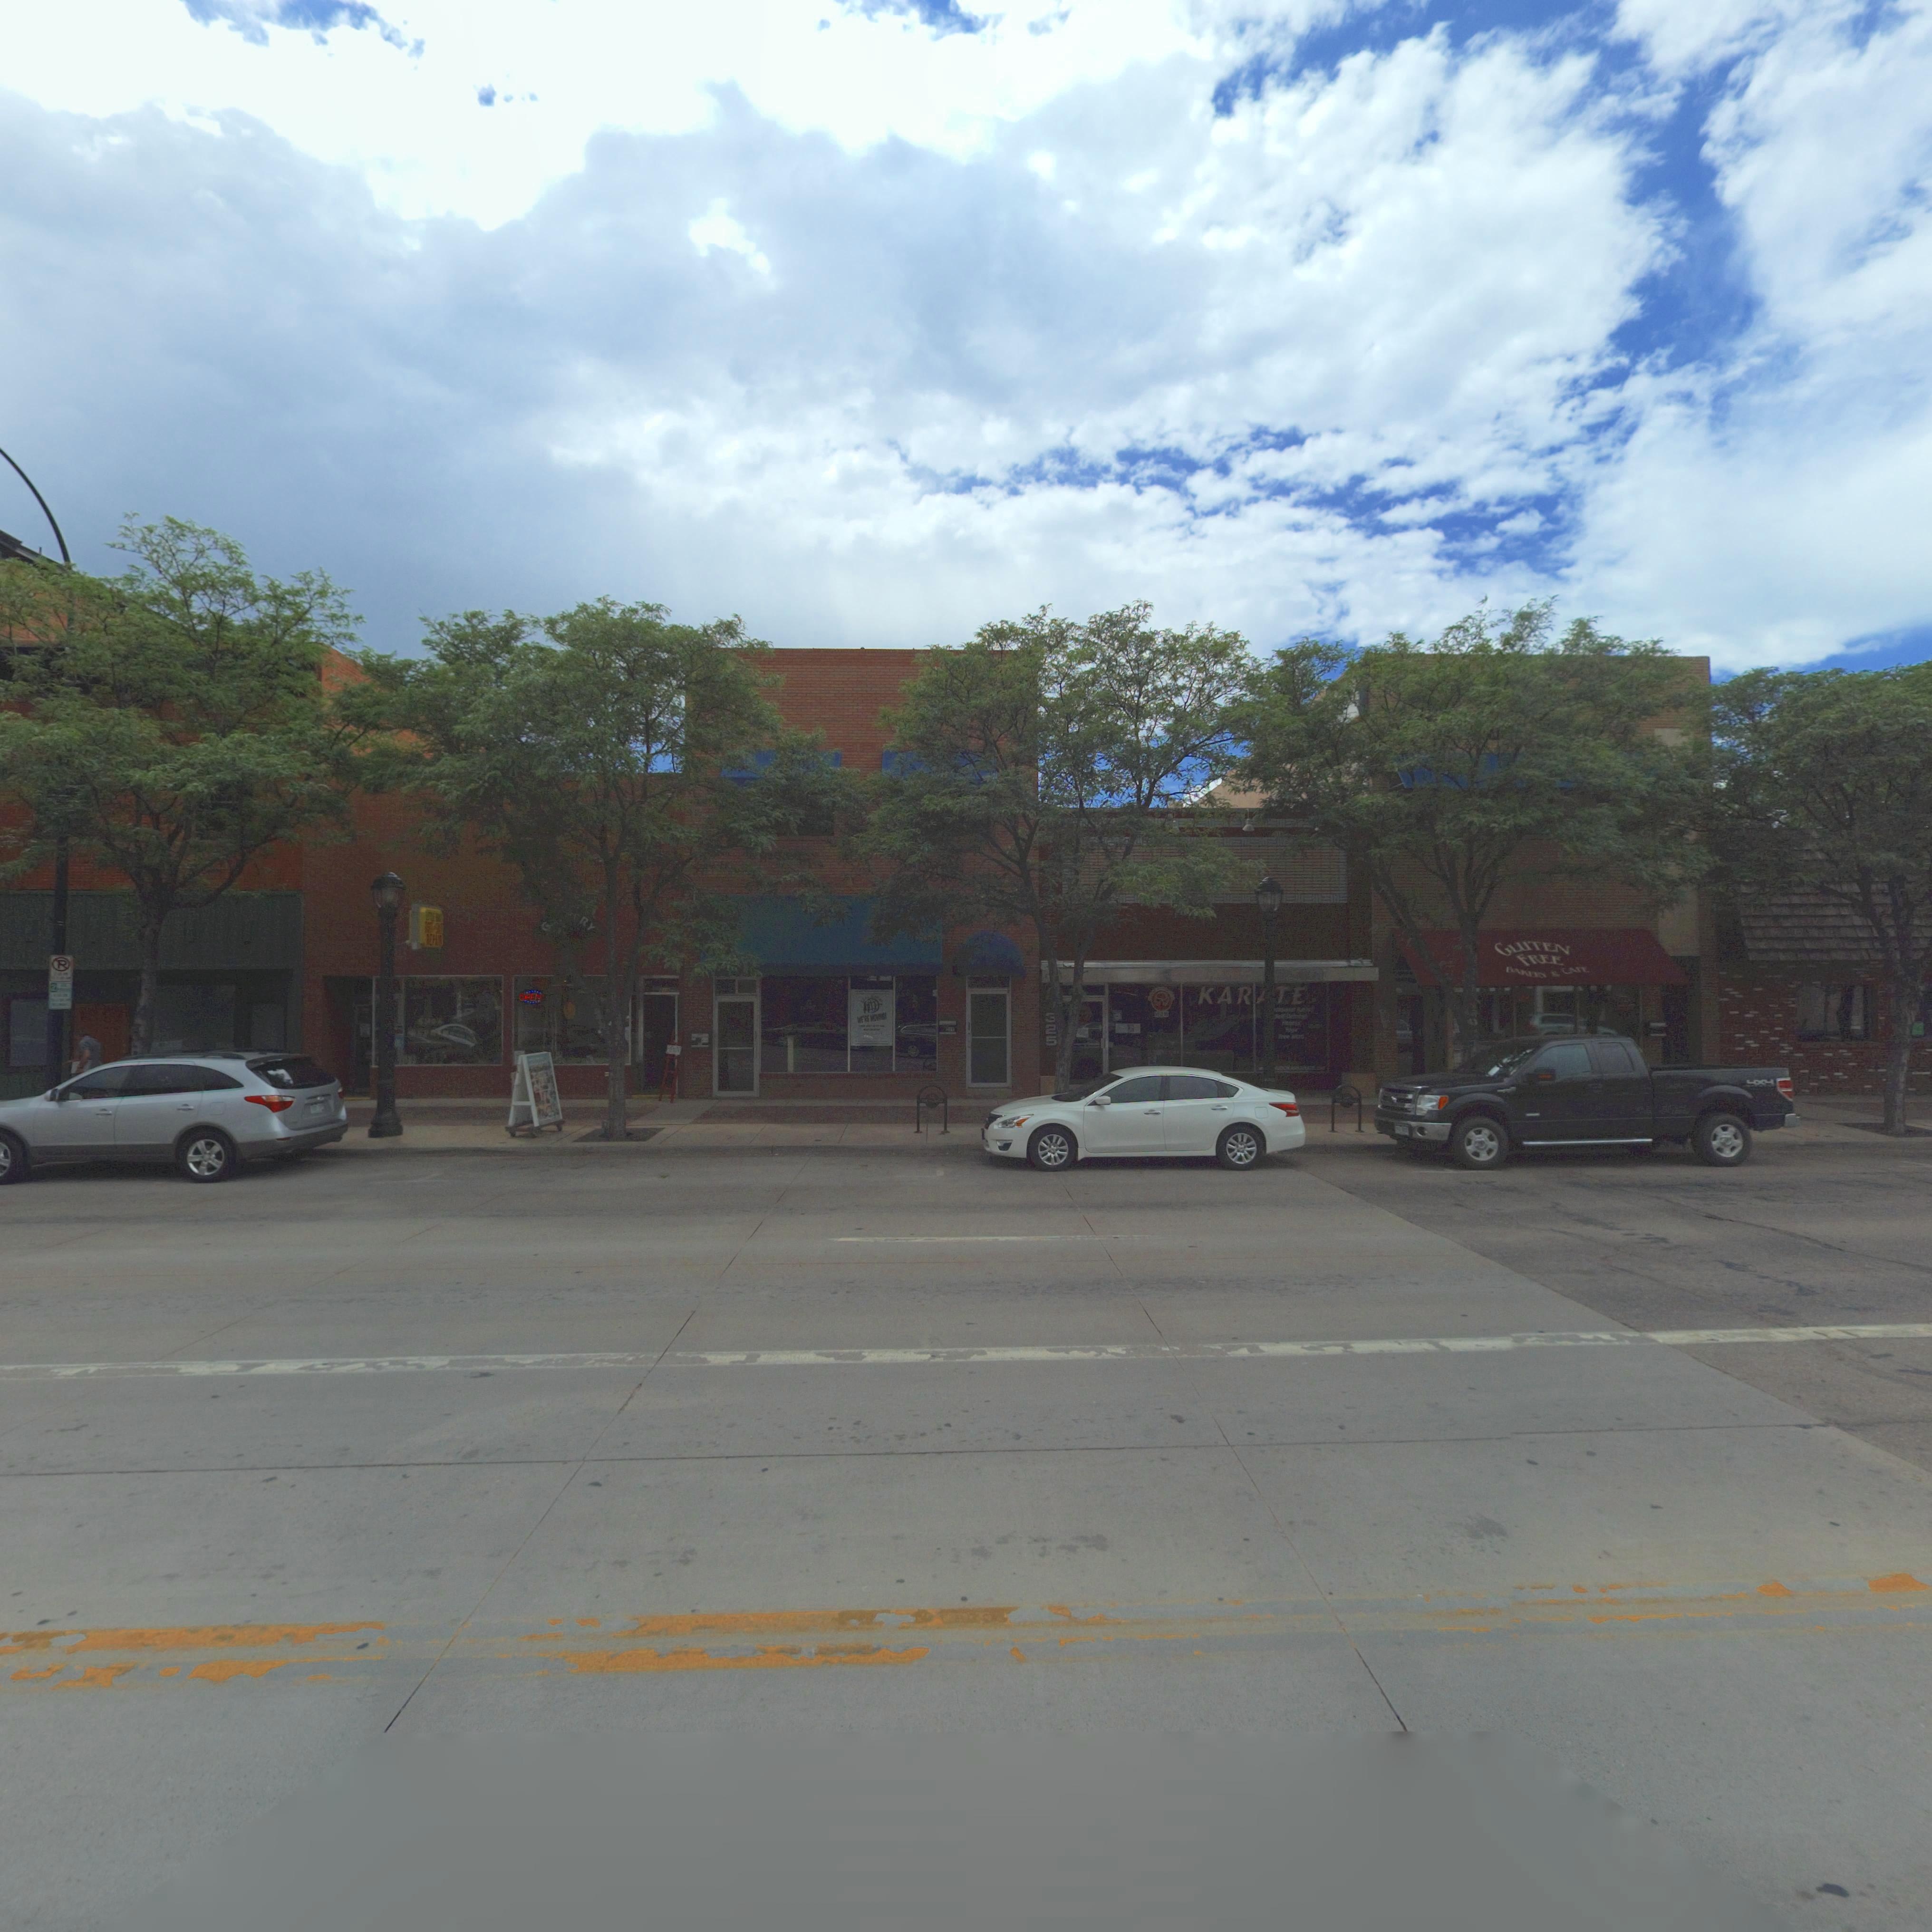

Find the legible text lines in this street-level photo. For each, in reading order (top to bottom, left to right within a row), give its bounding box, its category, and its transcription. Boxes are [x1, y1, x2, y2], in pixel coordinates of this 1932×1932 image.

[1493, 940, 1570, 957] BusinessName: GL*TEN
[1516, 953, 1565, 966] BusinessName: FREE
[1506, 965, 1590, 979] BusinessName: BAK**Y * CA*E
[1045, 1012, 1057, 1046] StreetNumber: 325